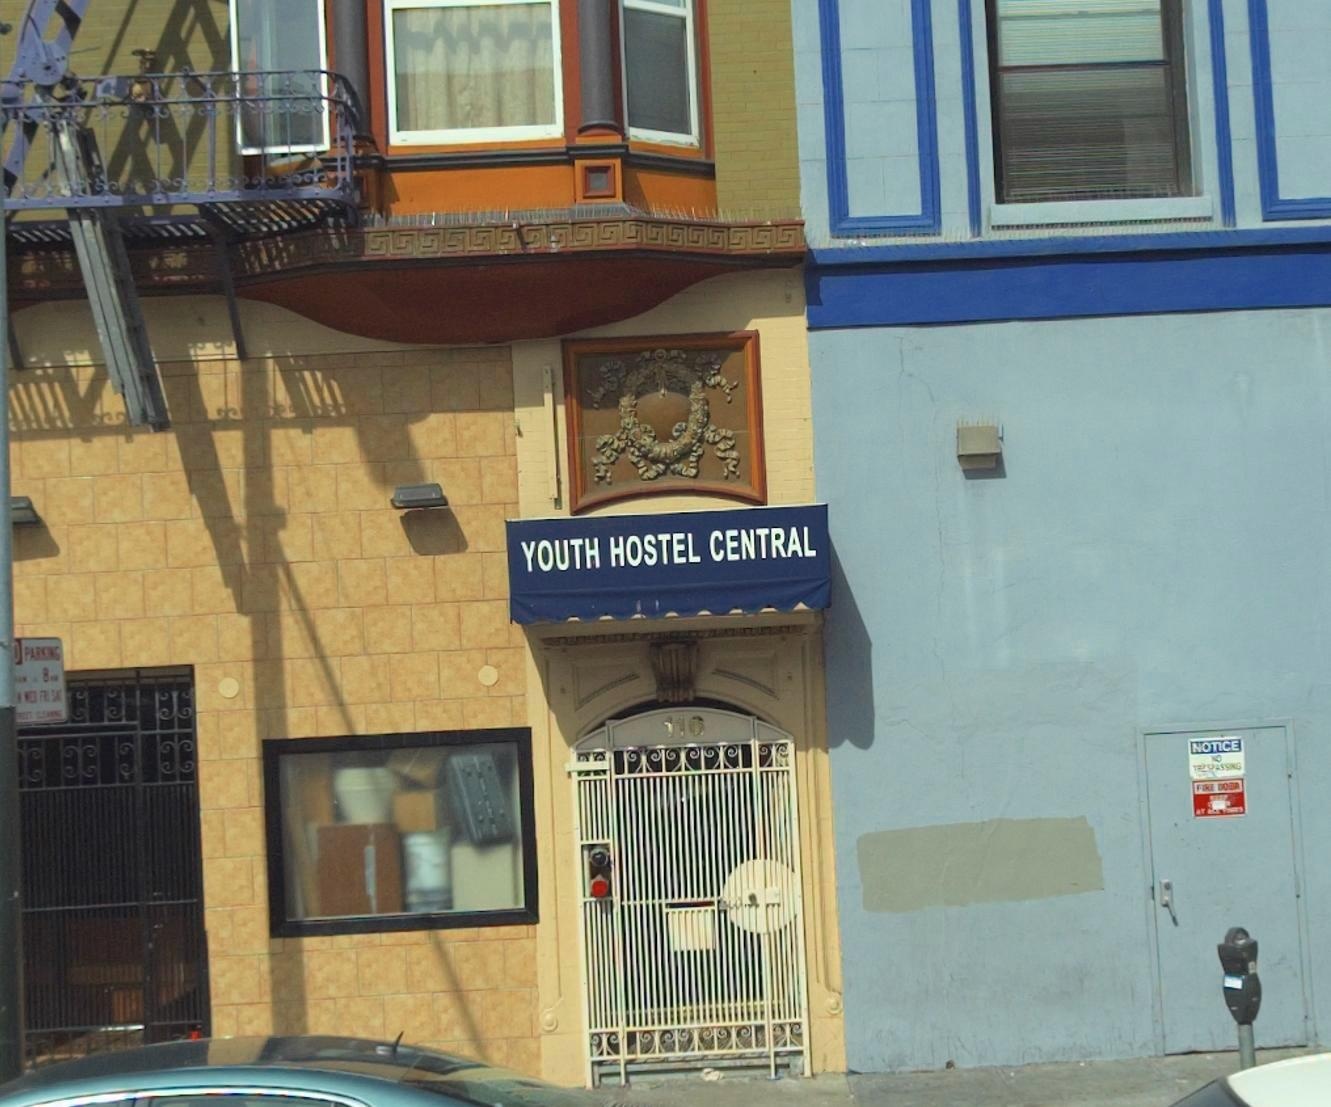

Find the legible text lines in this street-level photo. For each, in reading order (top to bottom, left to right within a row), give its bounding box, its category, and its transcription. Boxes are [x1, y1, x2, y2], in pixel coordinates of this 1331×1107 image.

[517, 524, 818, 575] BusinessName: YOUTH HOSTEL CENTRAL
[20, 643, 63, 664] None: PARKING
[40, 666, 51, 686] None: 8
[19, 685, 66, 707] None: WED FRI SAT
[1189, 738, 1242, 755] None: NOTICE
[1209, 752, 1224, 765] None: NO
[1193, 779, 1243, 794] None: **RE DOOR